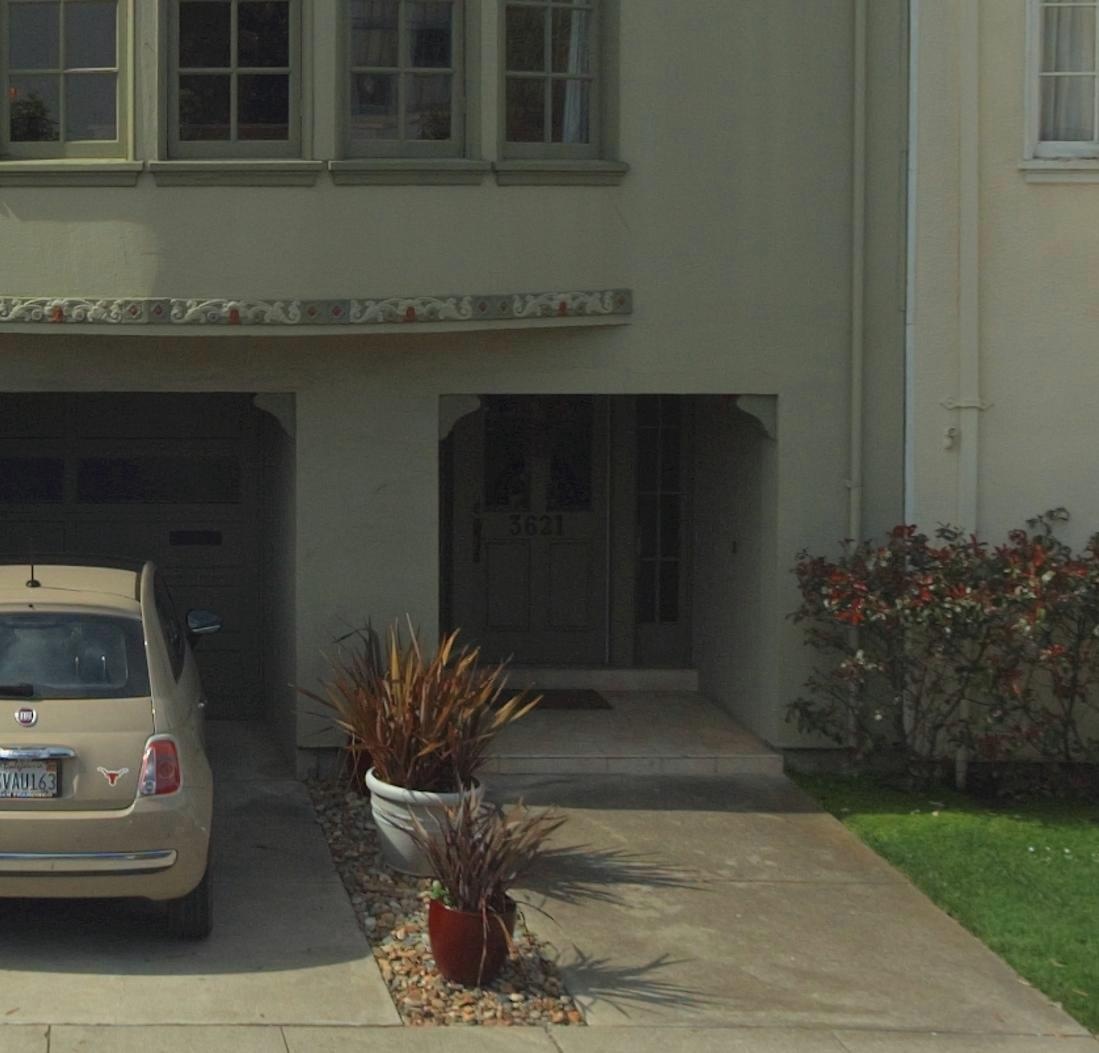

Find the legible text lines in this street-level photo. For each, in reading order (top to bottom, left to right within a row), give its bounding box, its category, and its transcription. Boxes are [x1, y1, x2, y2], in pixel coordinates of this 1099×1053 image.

[507, 512, 565, 538] StreetNumber: 3621
[1, 770, 57, 791] None: VAU163